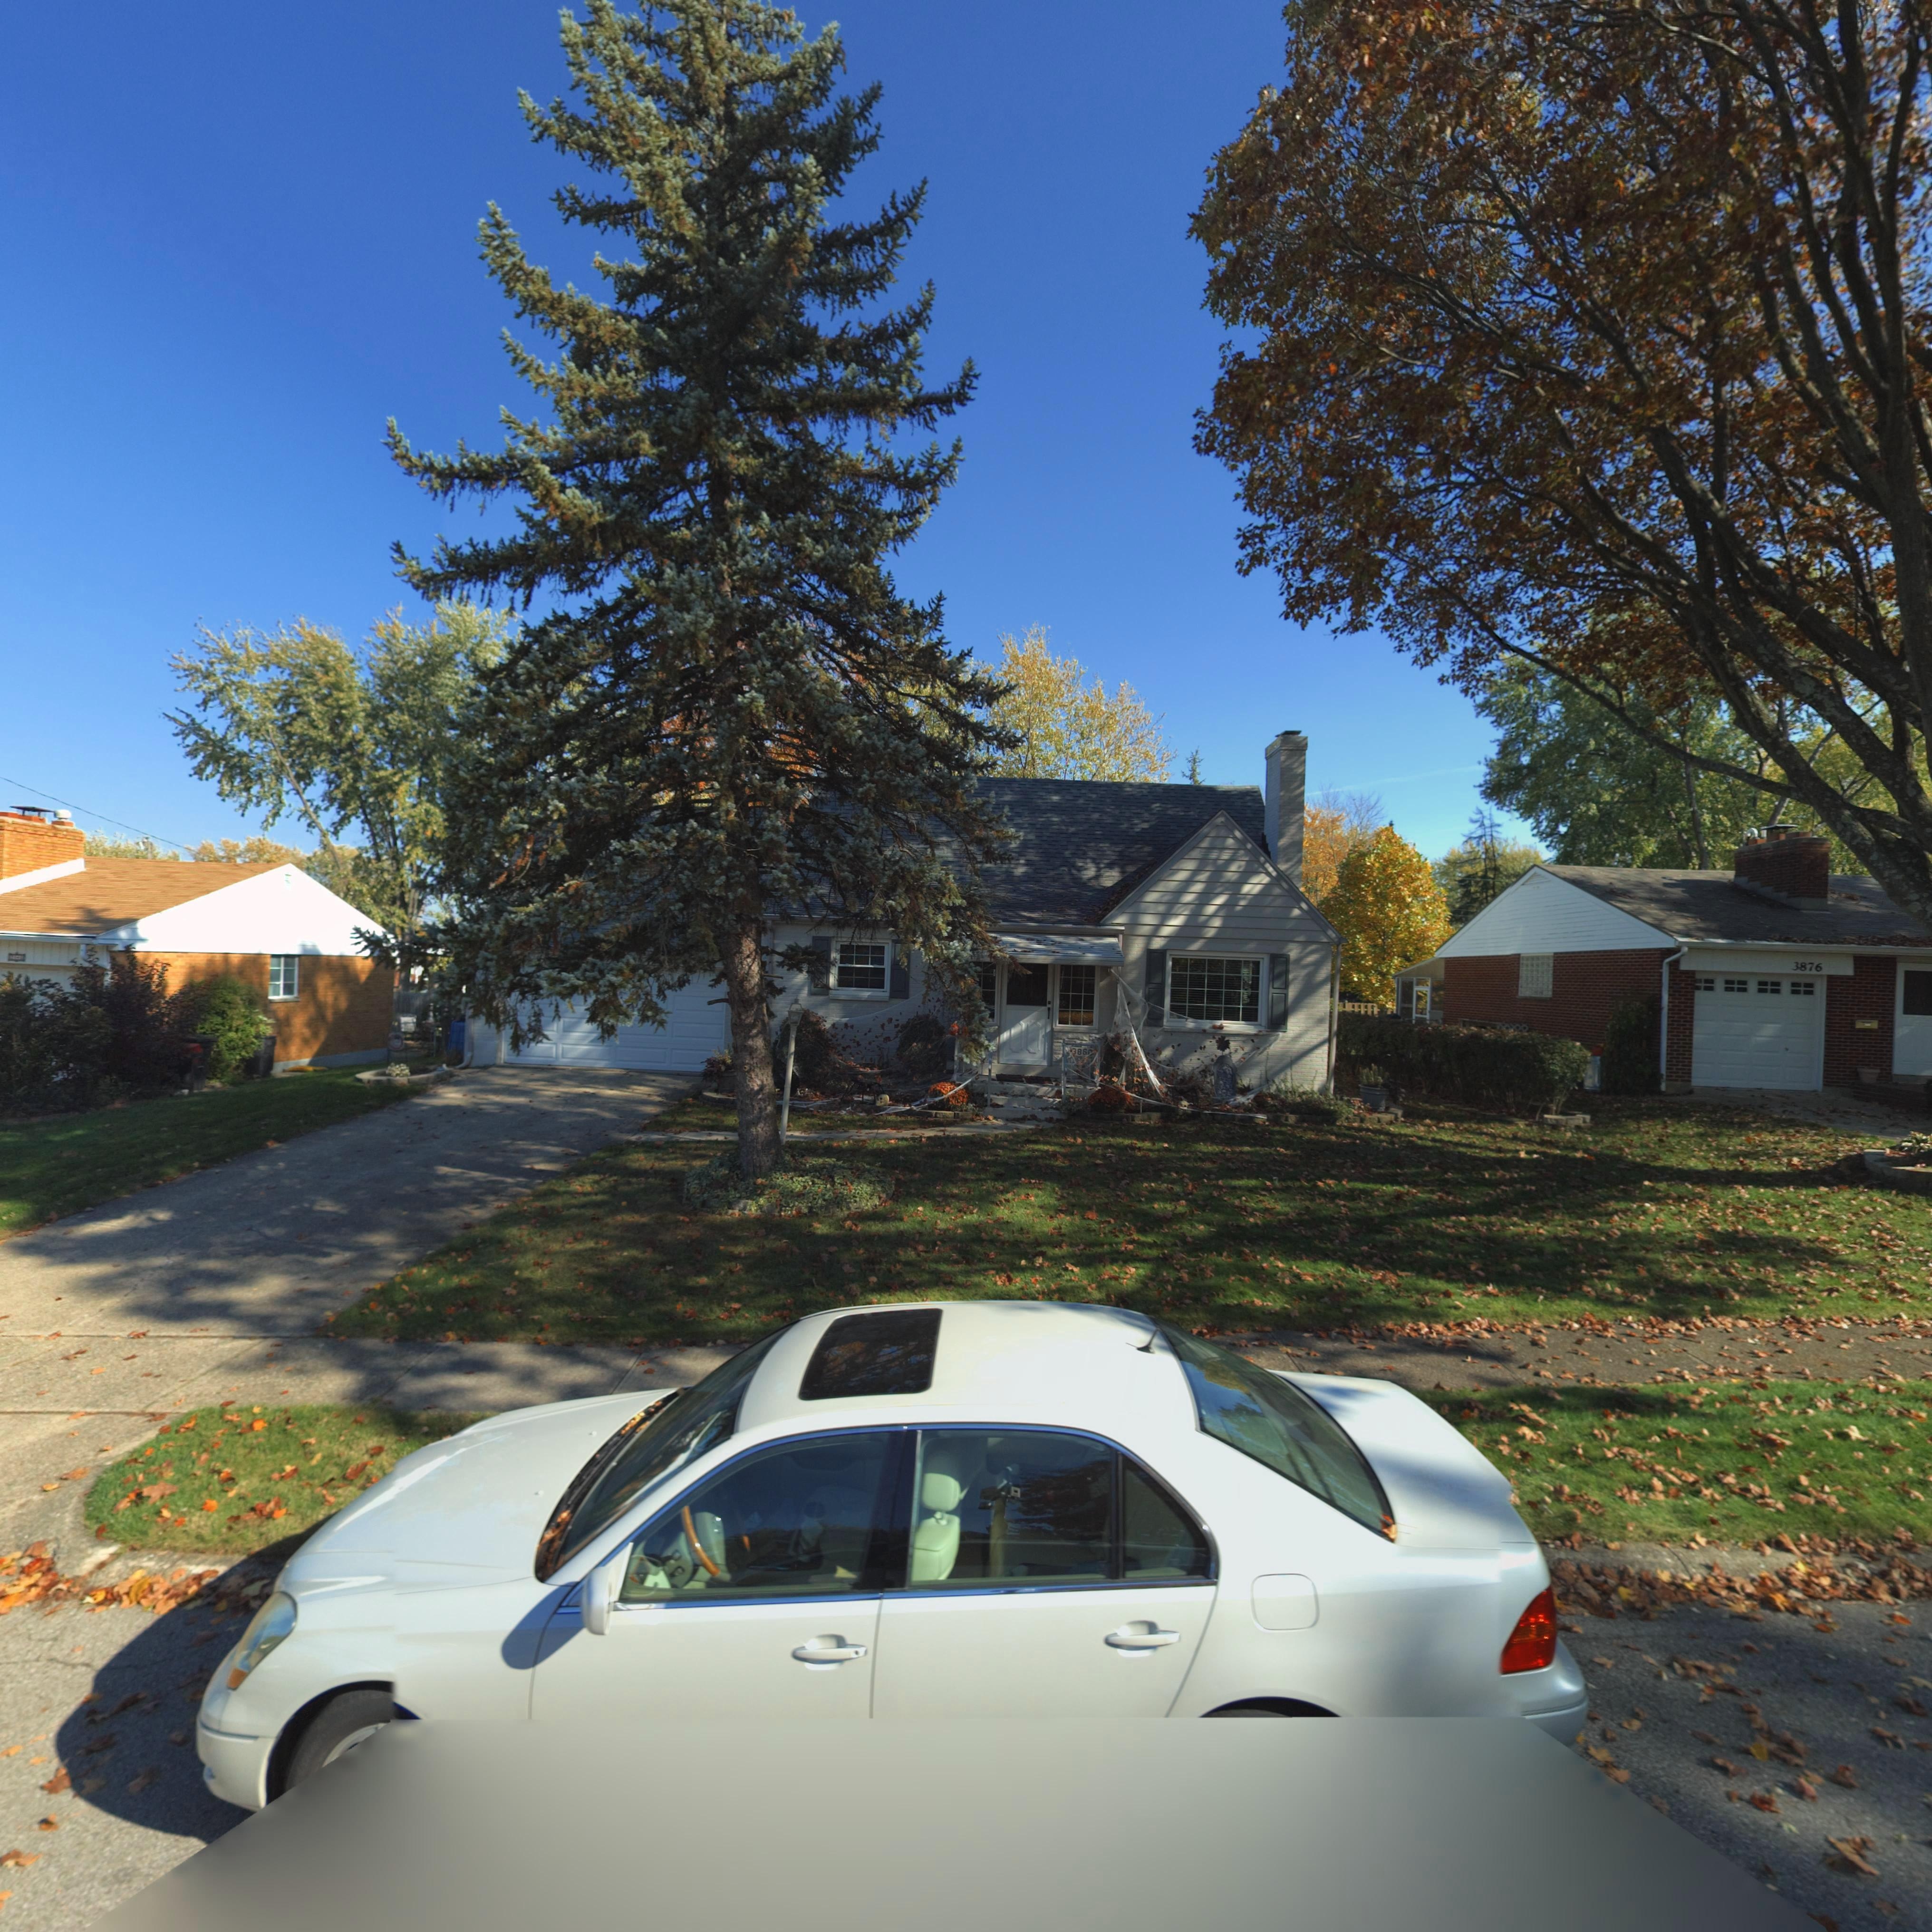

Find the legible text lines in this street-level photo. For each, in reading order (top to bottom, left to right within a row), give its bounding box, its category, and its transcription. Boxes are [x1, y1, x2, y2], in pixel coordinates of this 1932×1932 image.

[1790, 961, 1823, 972] StreetNumber: 3876
[1072, 1047, 1094, 1056] StreetNumber: 386*